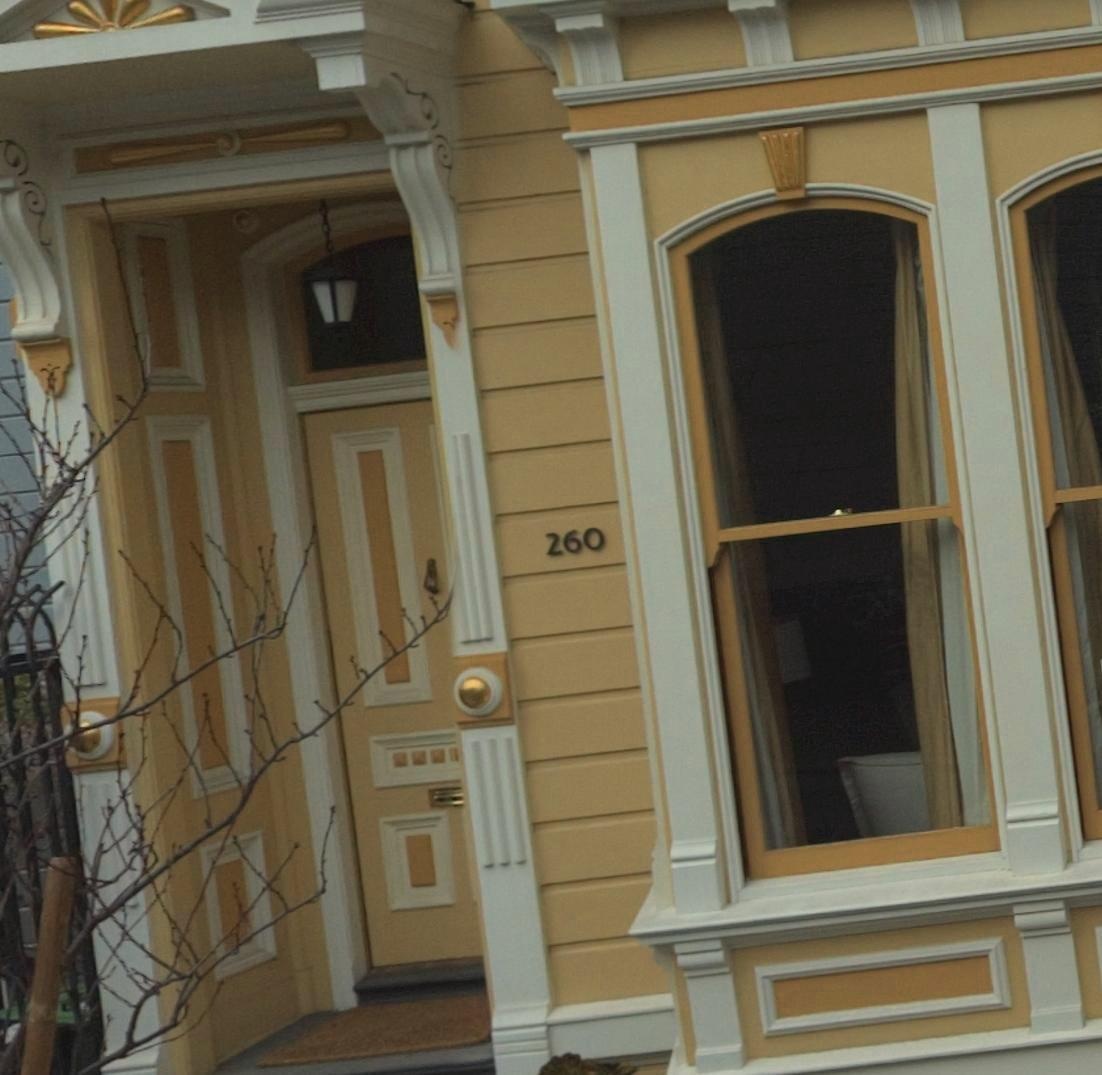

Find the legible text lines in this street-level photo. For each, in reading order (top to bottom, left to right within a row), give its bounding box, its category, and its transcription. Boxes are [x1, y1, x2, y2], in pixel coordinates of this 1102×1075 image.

[541, 521, 611, 562] StreetNumber: 260